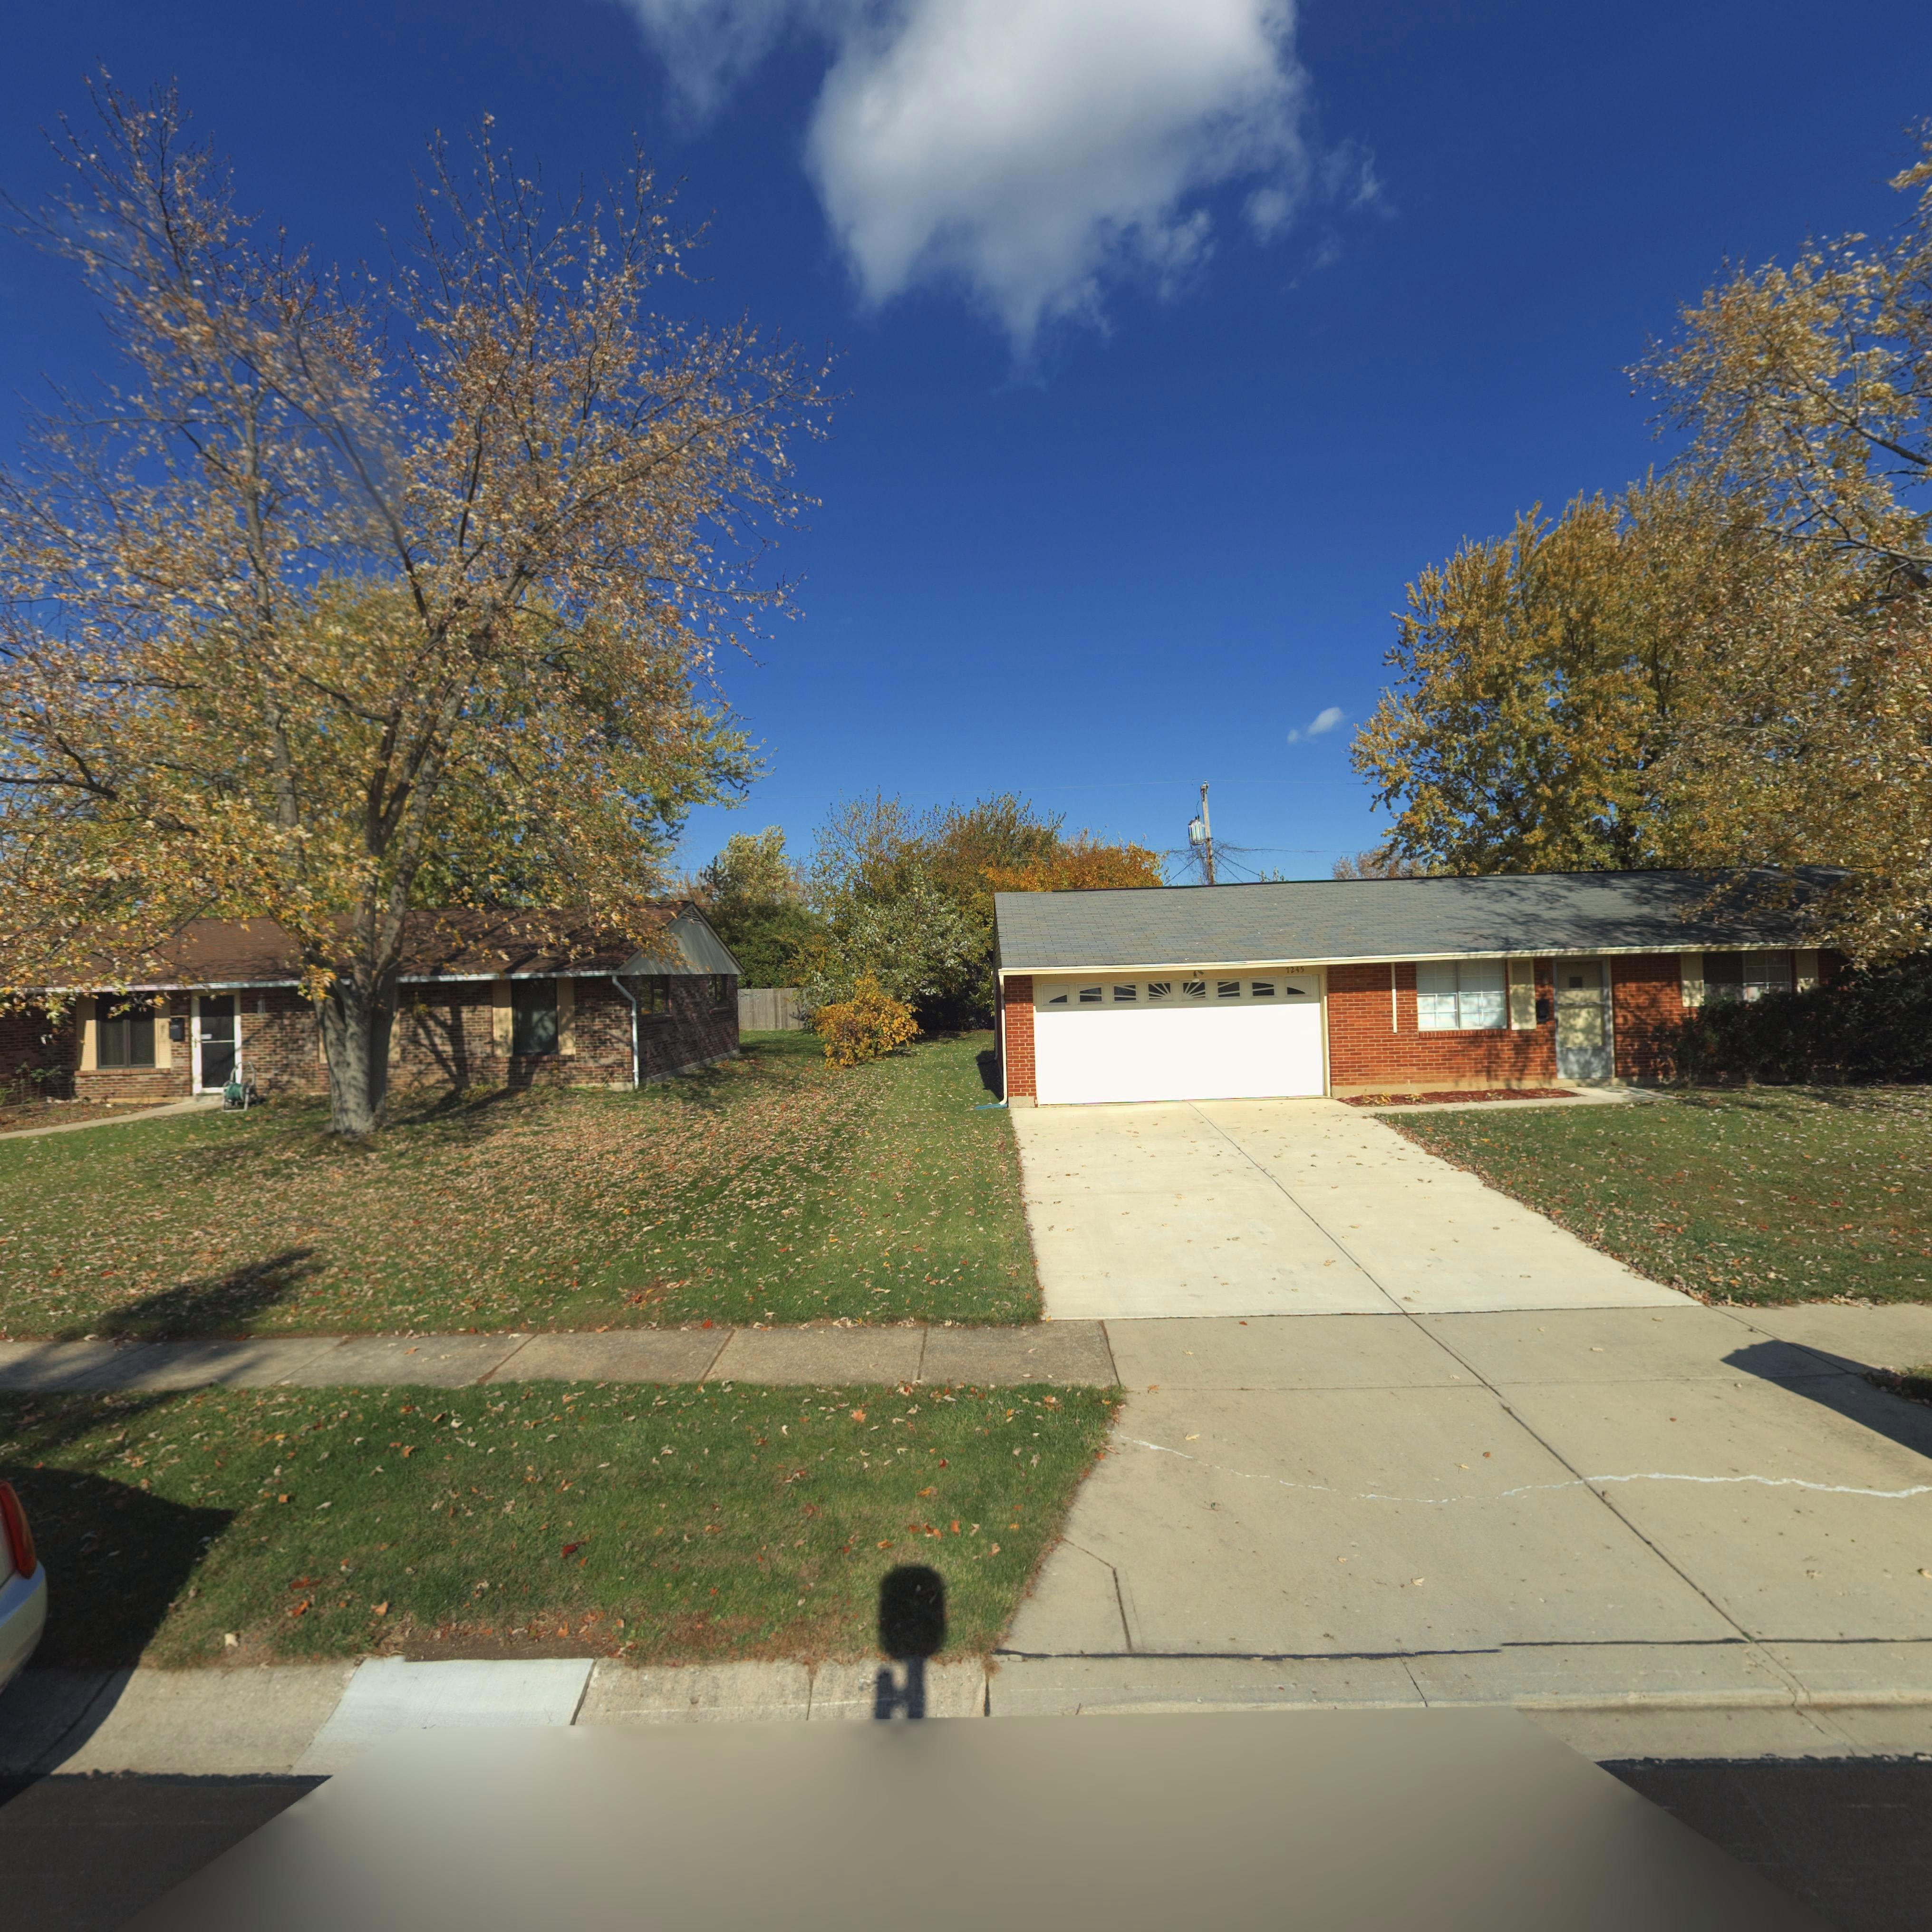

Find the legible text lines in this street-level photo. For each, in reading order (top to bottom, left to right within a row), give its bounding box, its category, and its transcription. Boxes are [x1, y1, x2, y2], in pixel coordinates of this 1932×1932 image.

[1284, 965, 1305, 975] StreetNumber: 7245